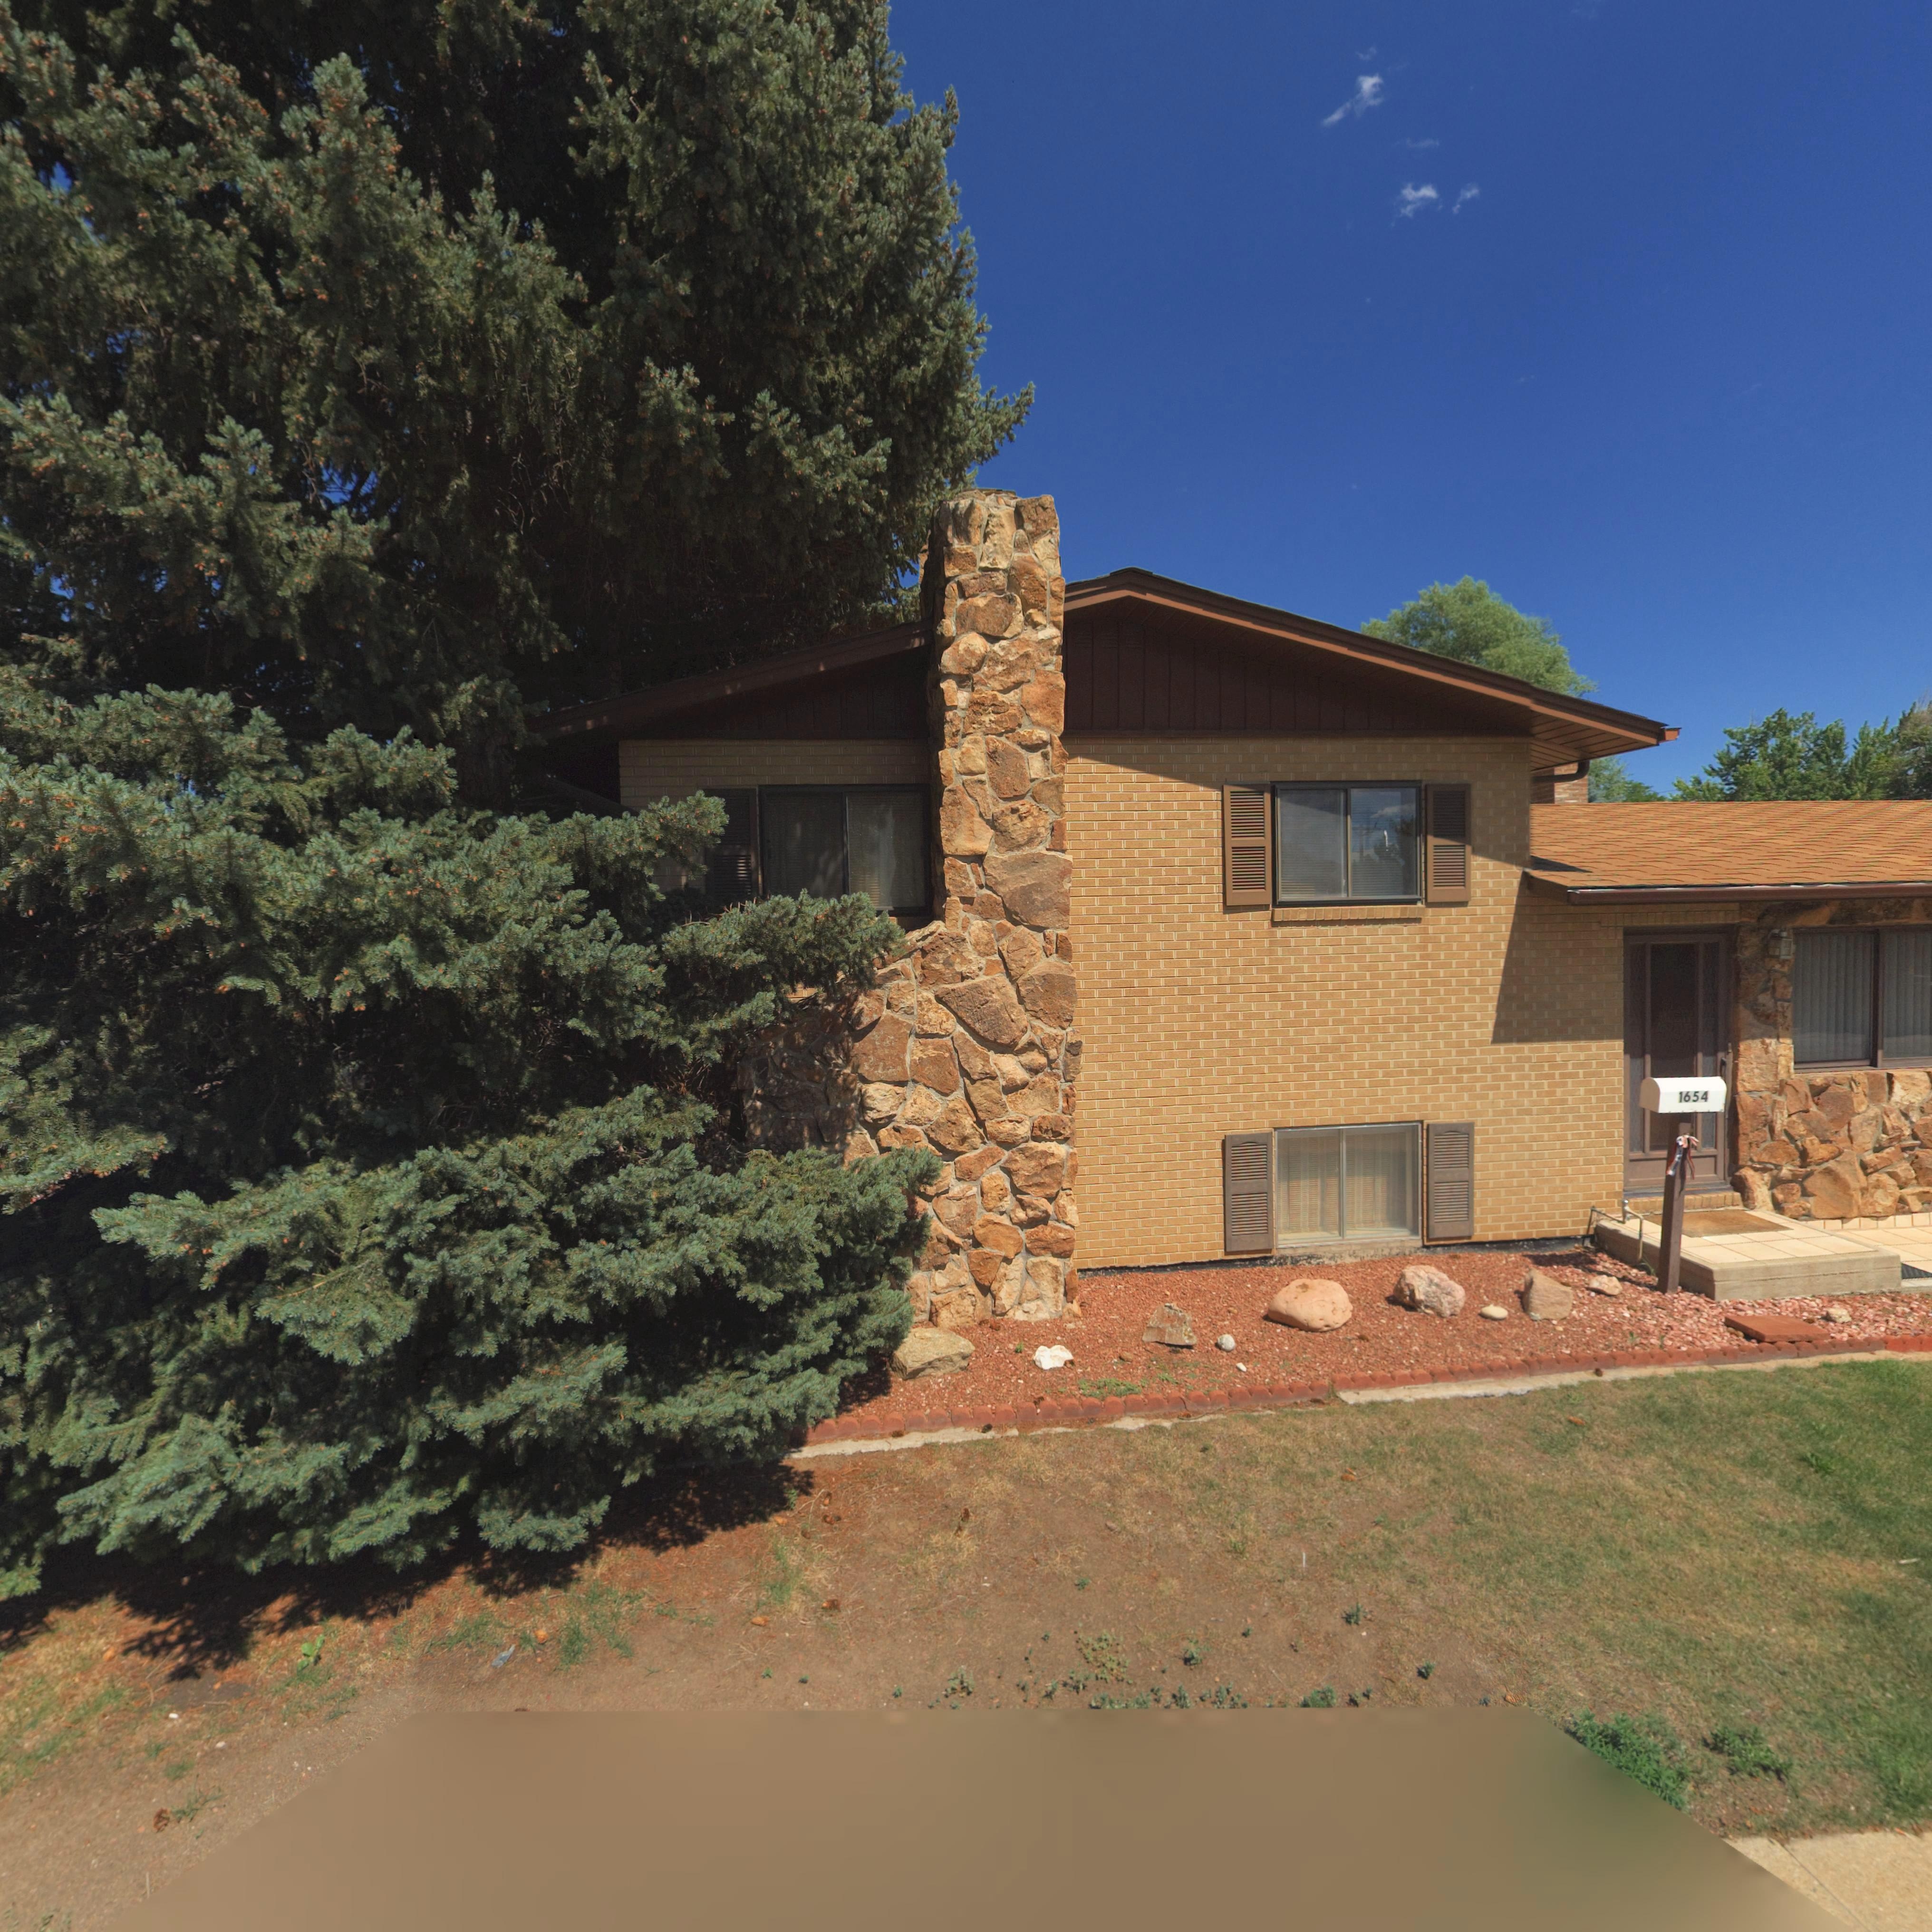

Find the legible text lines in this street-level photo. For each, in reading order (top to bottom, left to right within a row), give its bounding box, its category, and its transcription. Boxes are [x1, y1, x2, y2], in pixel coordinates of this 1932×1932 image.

[1678, 1091, 1708, 1103] StreetNumber: 1654